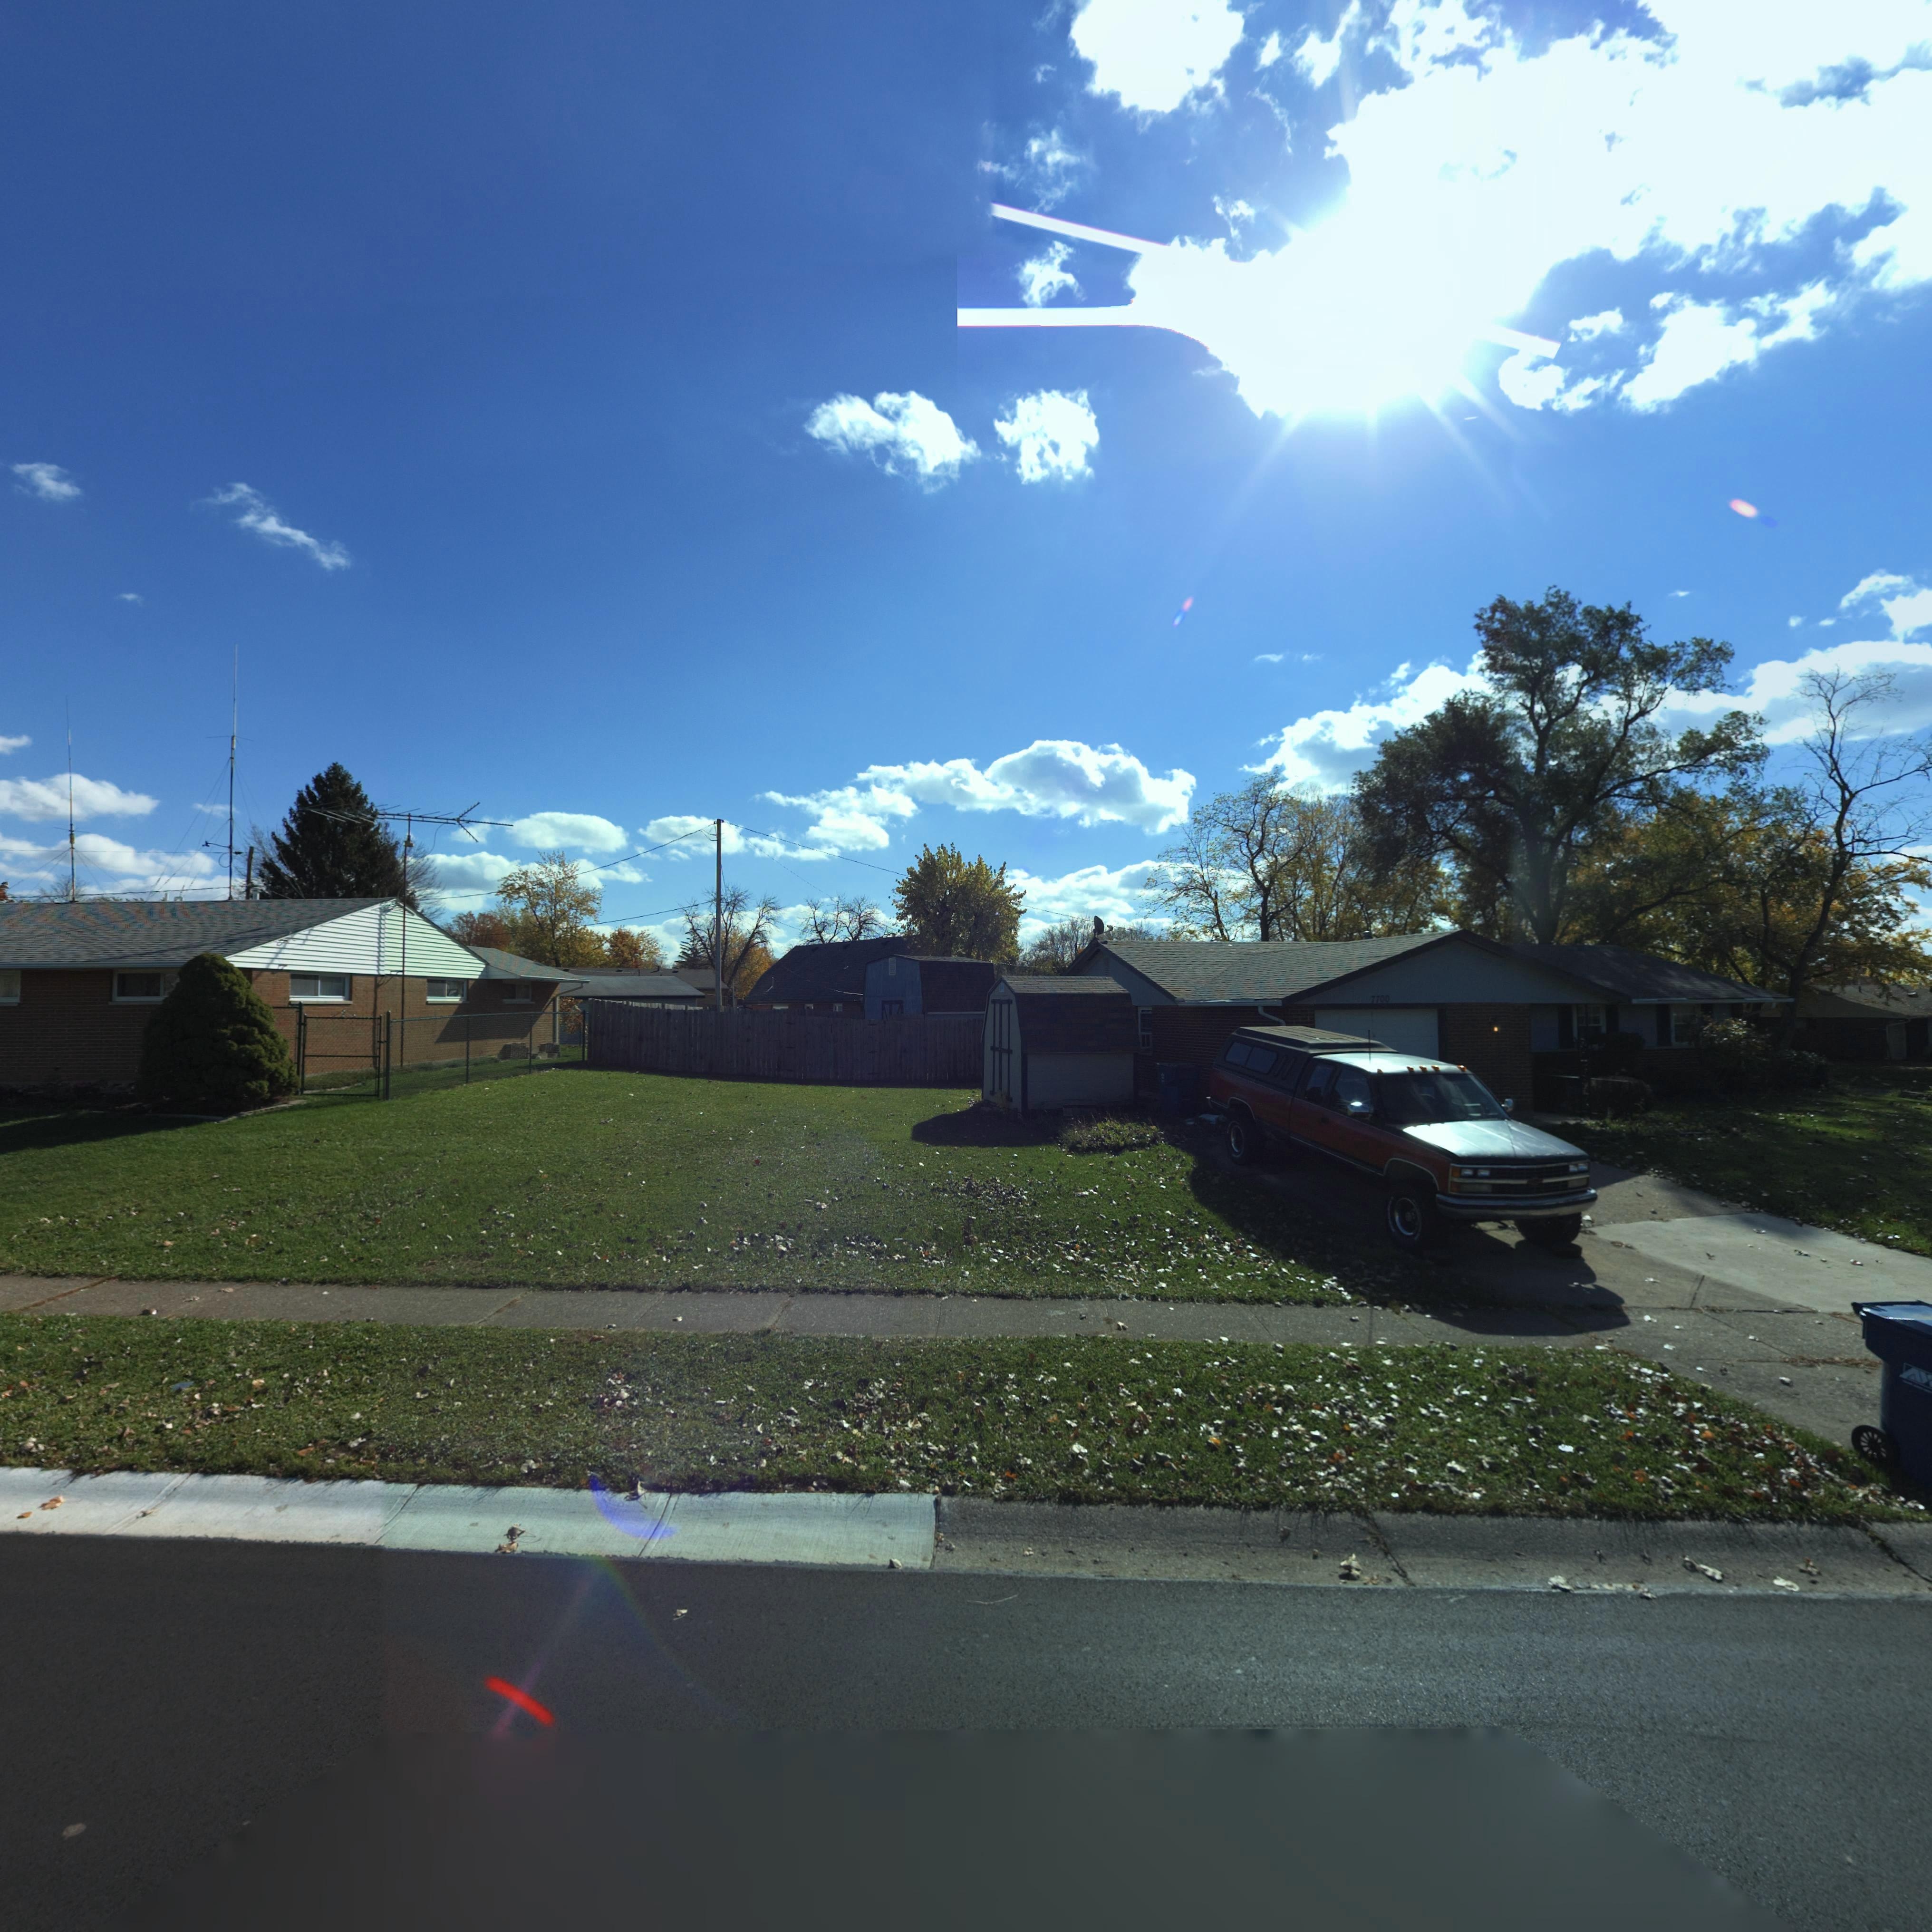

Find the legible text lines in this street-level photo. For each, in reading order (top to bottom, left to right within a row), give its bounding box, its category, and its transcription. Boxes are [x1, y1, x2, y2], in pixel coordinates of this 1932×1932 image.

[1371, 995, 1391, 1004] StreetNumber: 7700